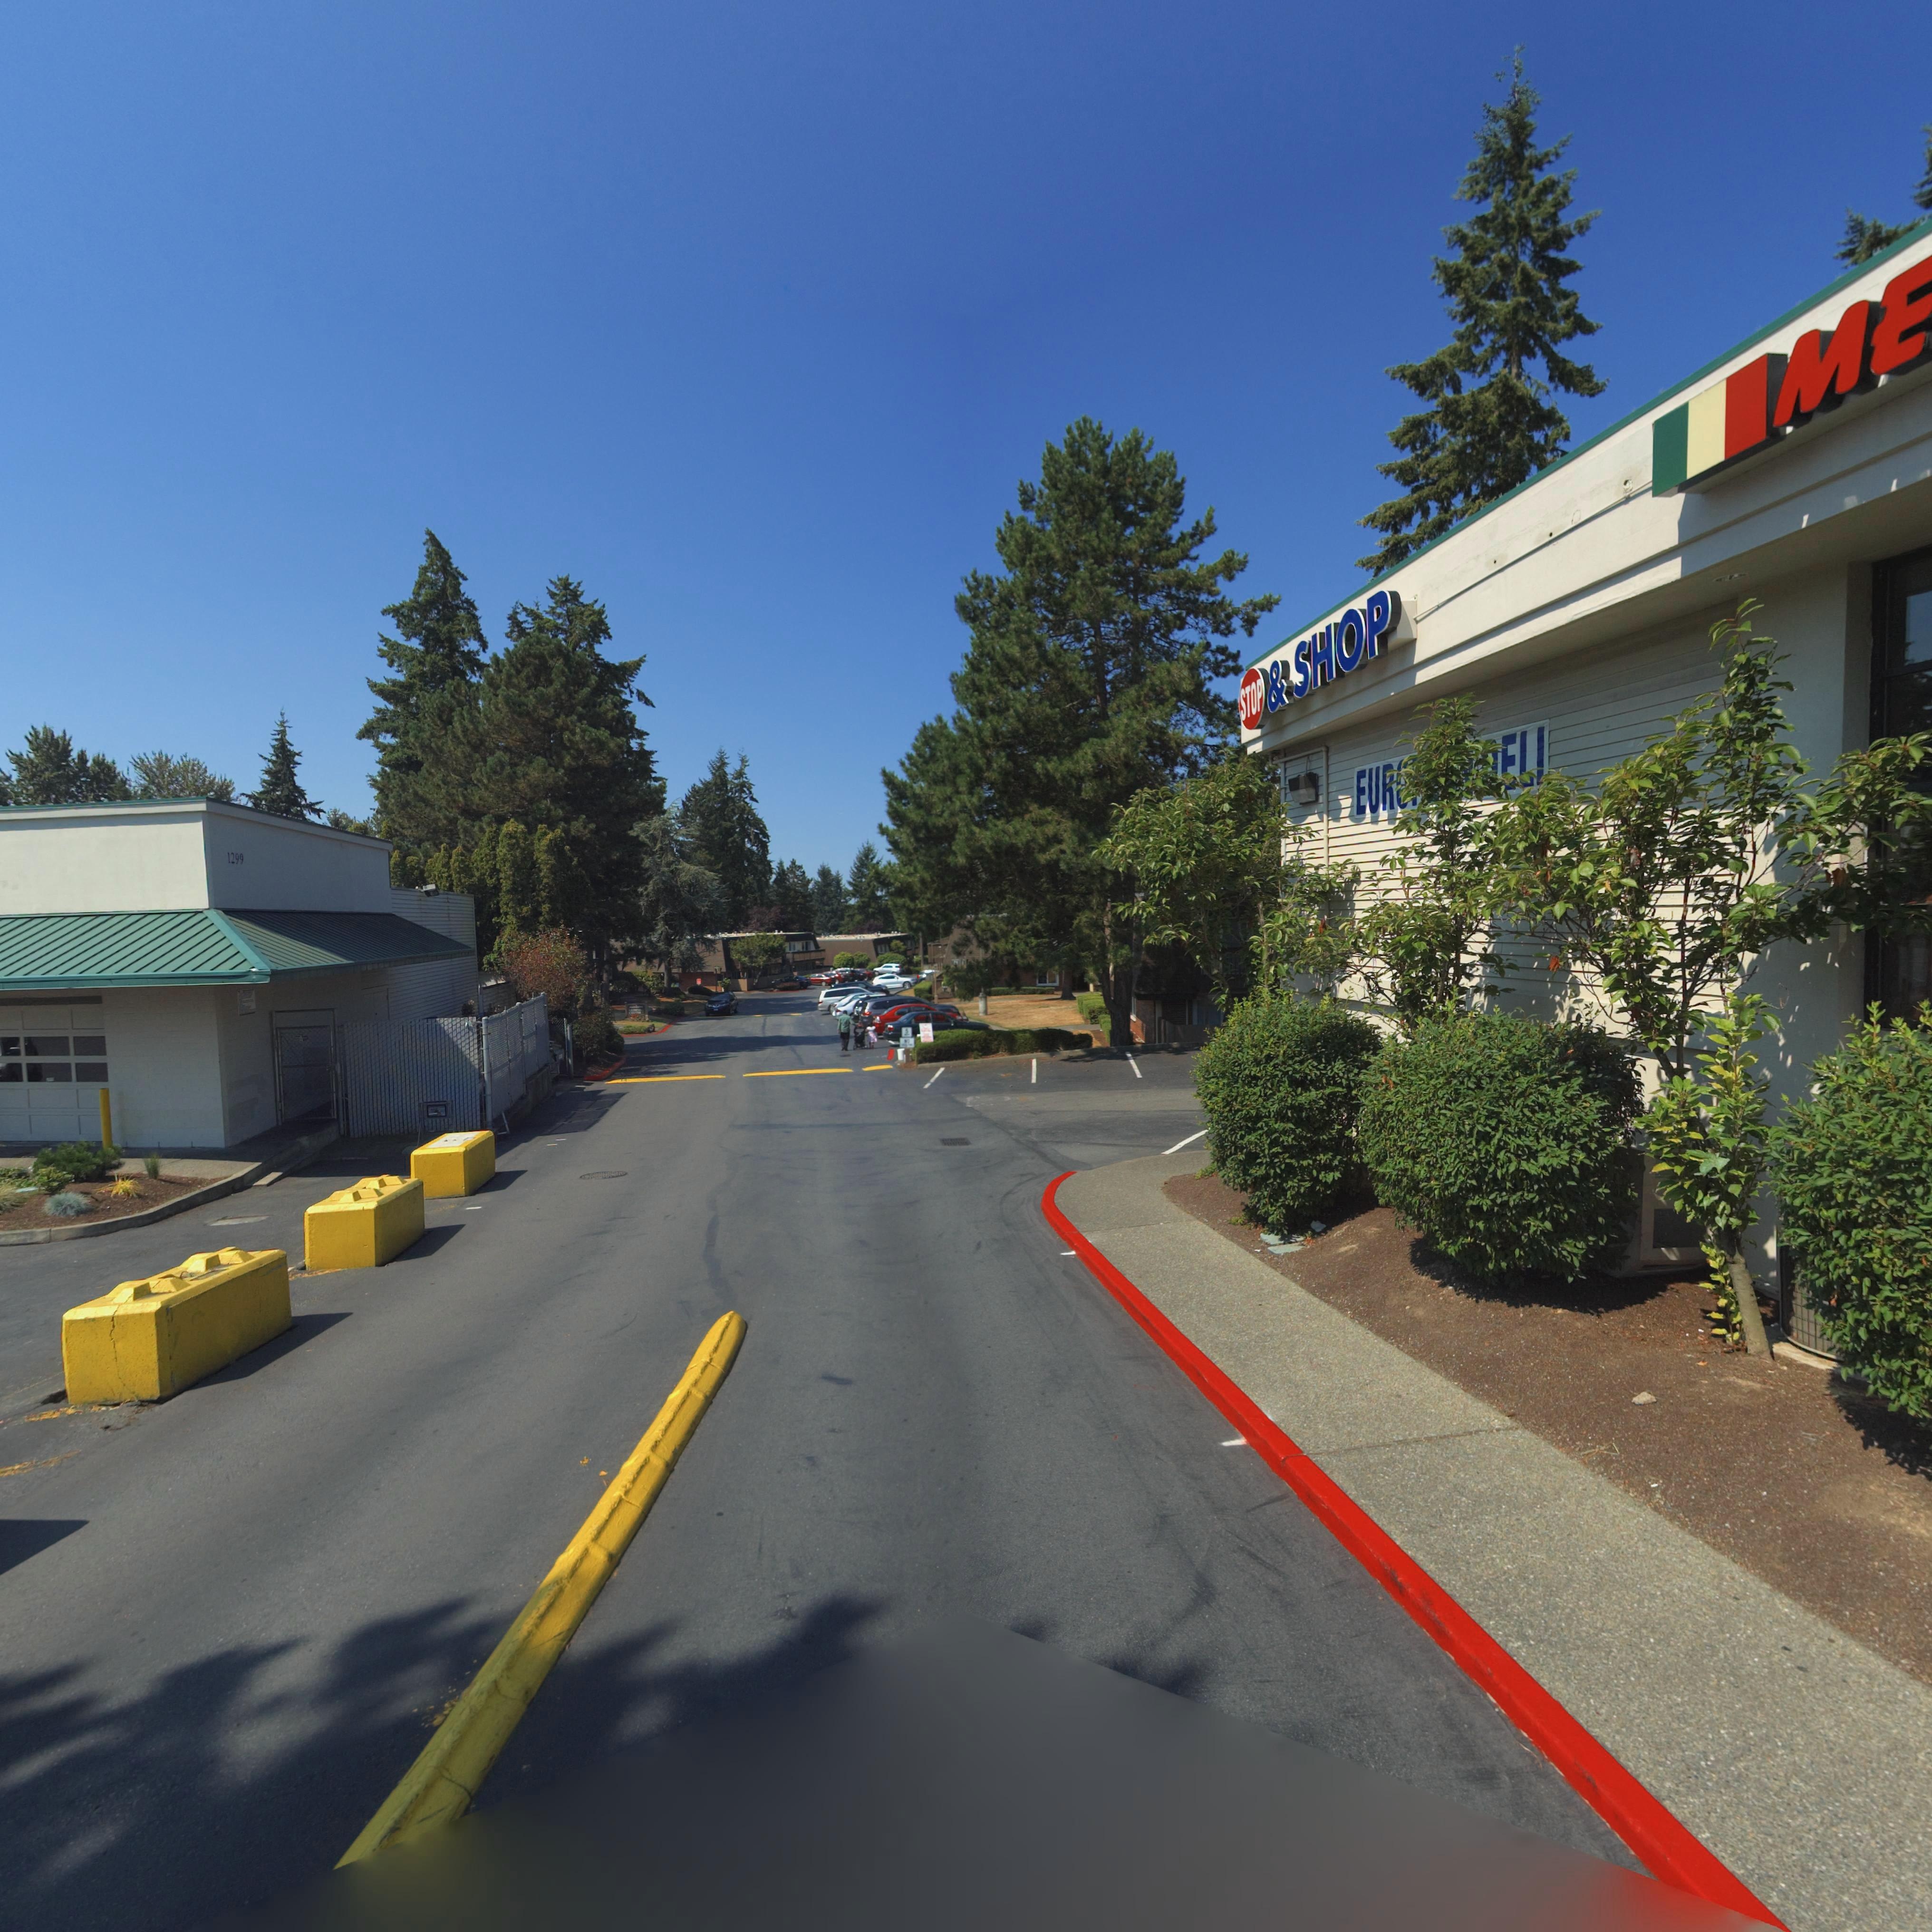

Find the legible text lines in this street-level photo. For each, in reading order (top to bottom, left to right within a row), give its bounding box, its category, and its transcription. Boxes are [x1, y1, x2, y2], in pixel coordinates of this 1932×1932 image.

[1232, 575, 1400, 721] BusinessName: STOP & SHOP
[227, 852, 244, 865] StreetNumber: 1299